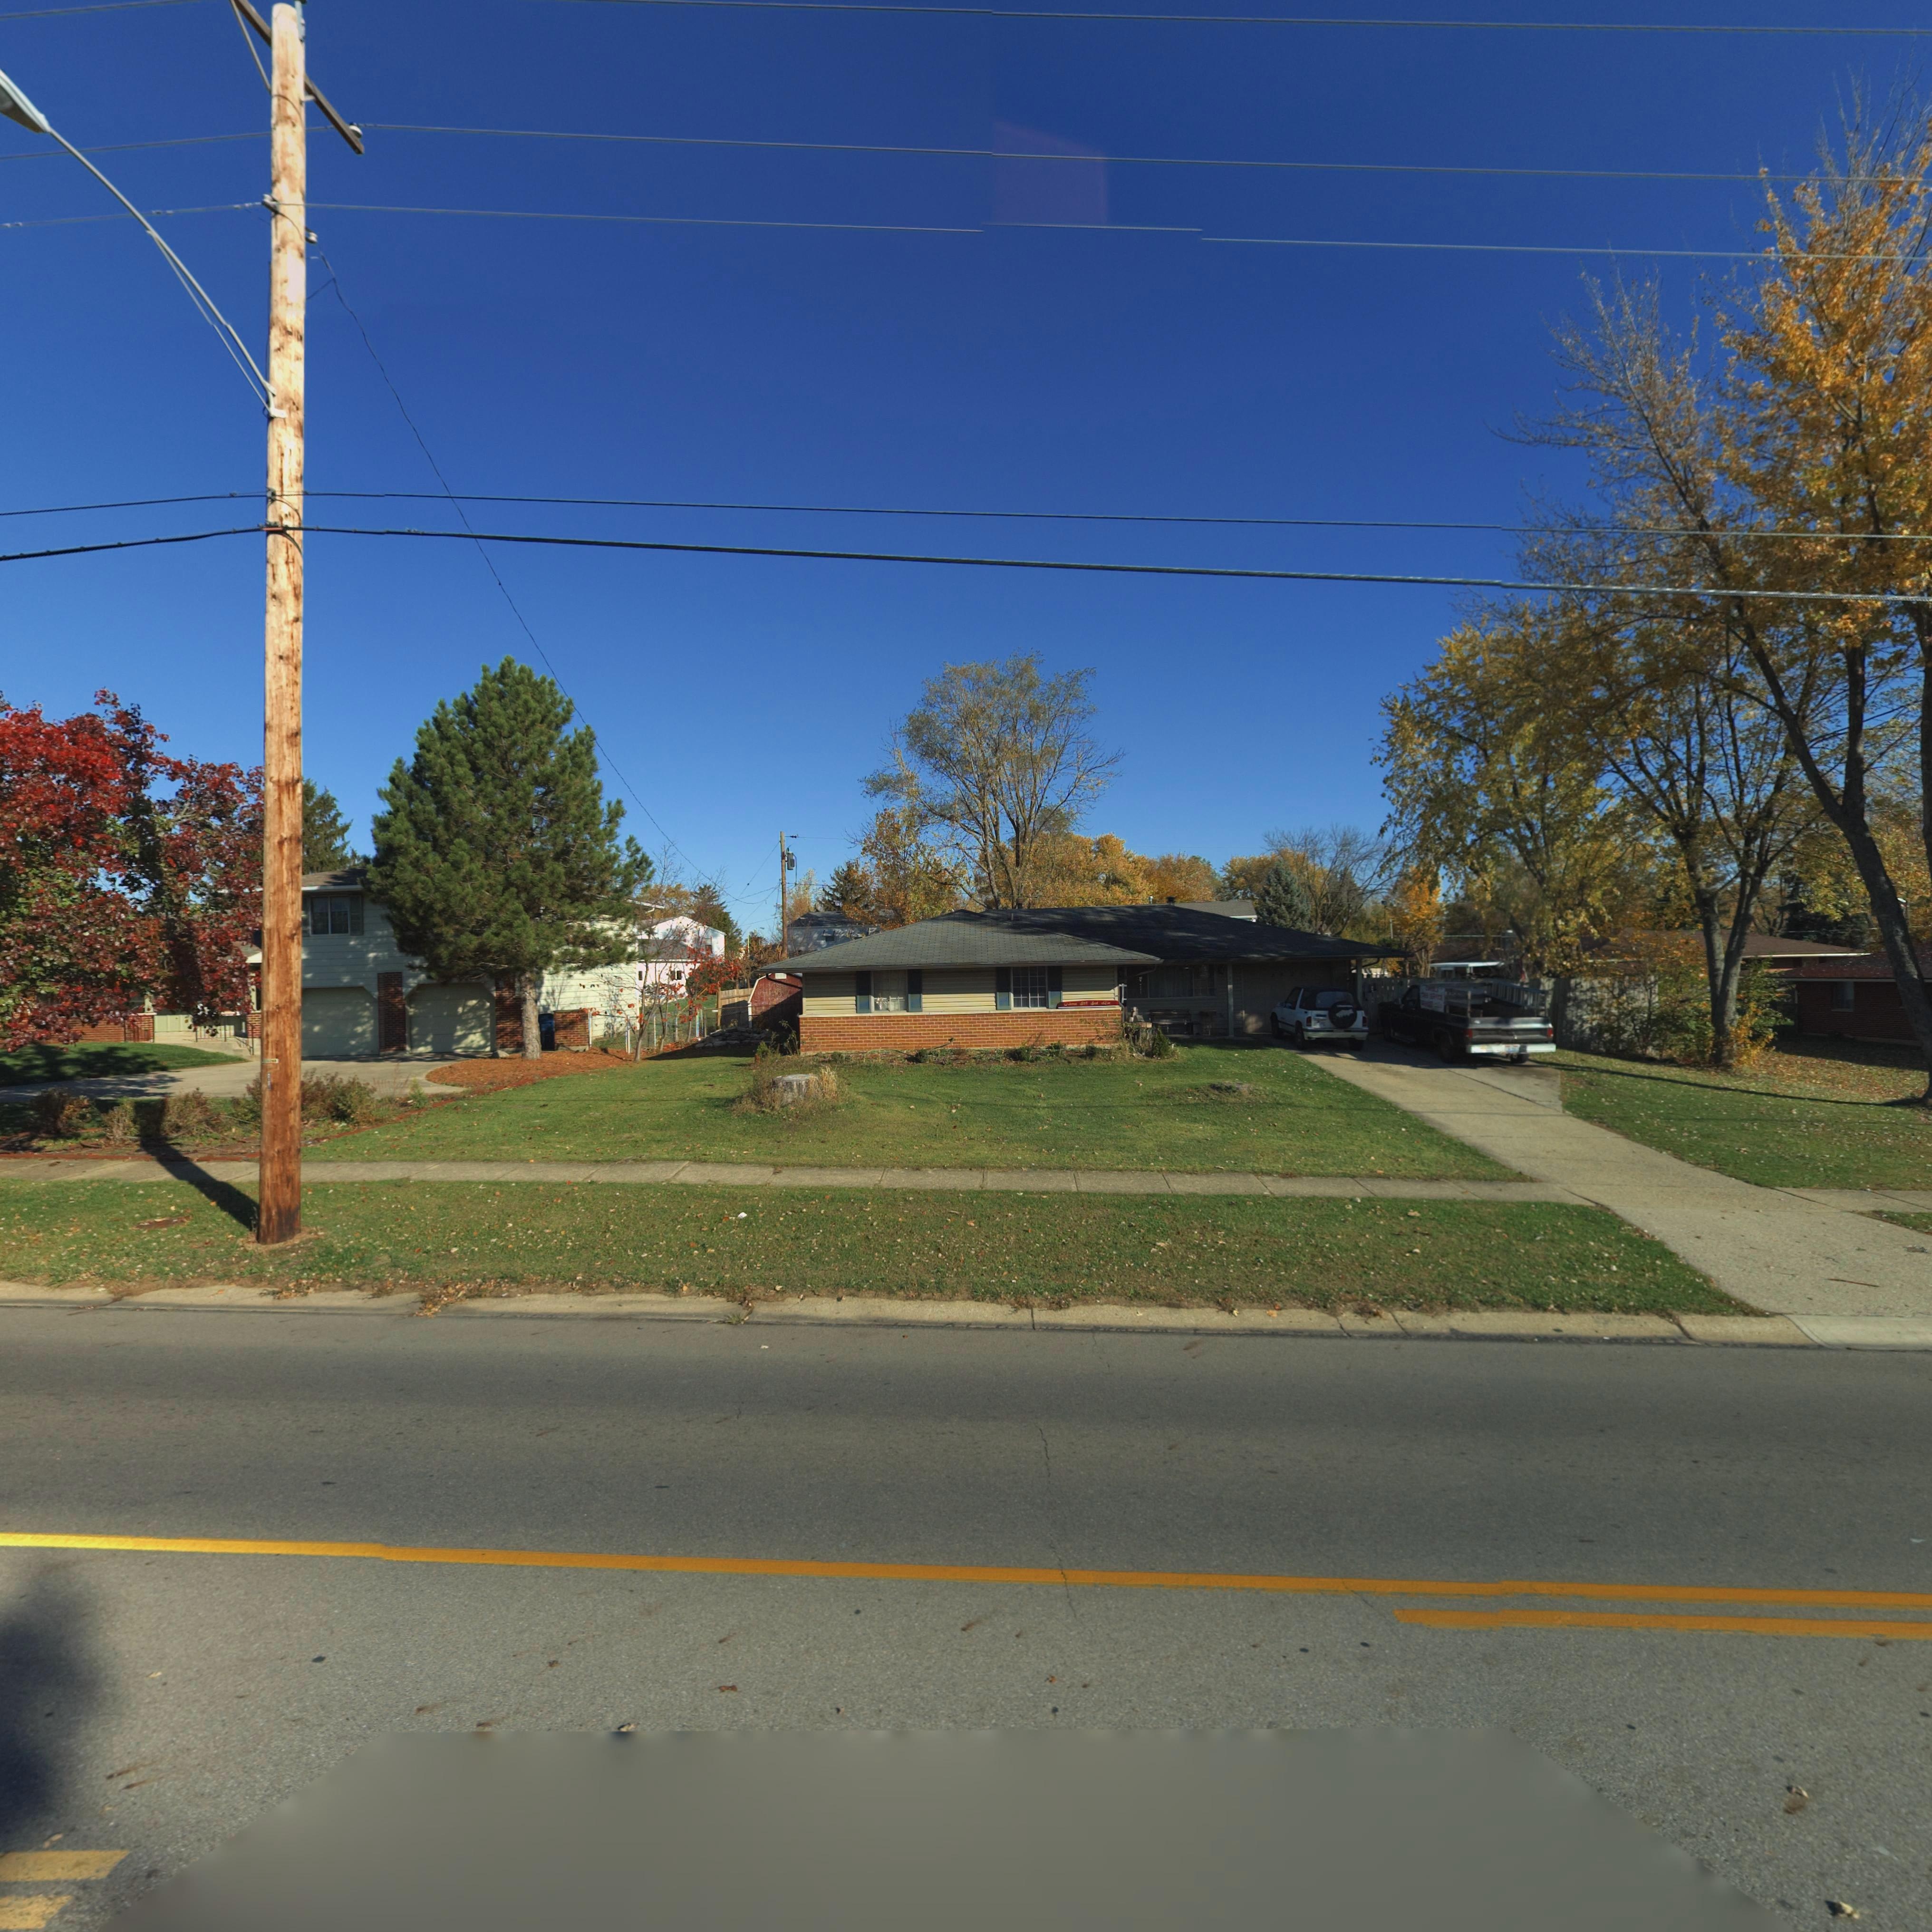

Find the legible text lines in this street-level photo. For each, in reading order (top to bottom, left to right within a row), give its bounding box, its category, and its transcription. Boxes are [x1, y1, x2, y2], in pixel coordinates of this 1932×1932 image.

[1228, 970, 1232, 991] StreetNumber: *9*5
[1270, 971, 1304, 978] StreetNumber: *9**